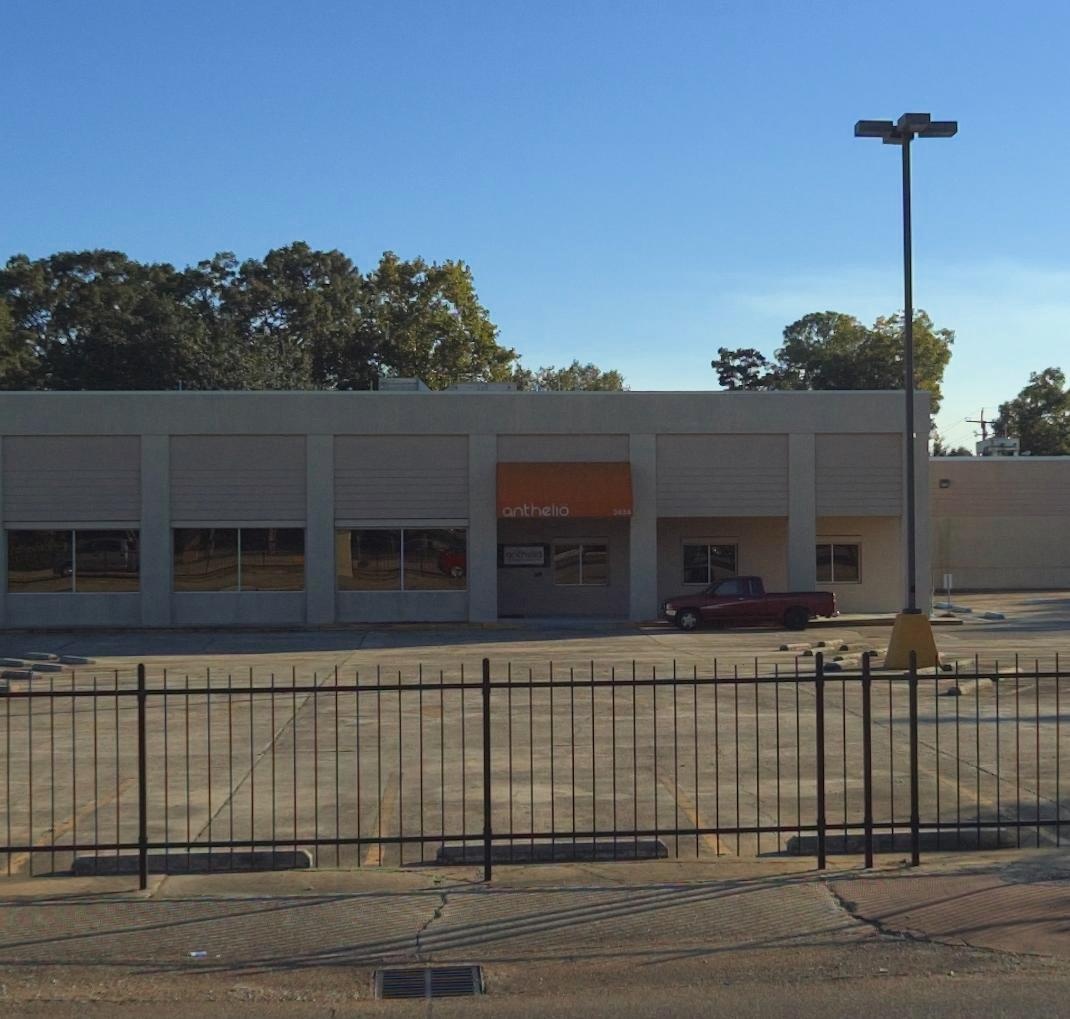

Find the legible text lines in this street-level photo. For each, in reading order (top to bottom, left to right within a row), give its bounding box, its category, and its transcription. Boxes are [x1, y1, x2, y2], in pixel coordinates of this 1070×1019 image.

[500, 500, 570, 519] BusinessName: anthelio